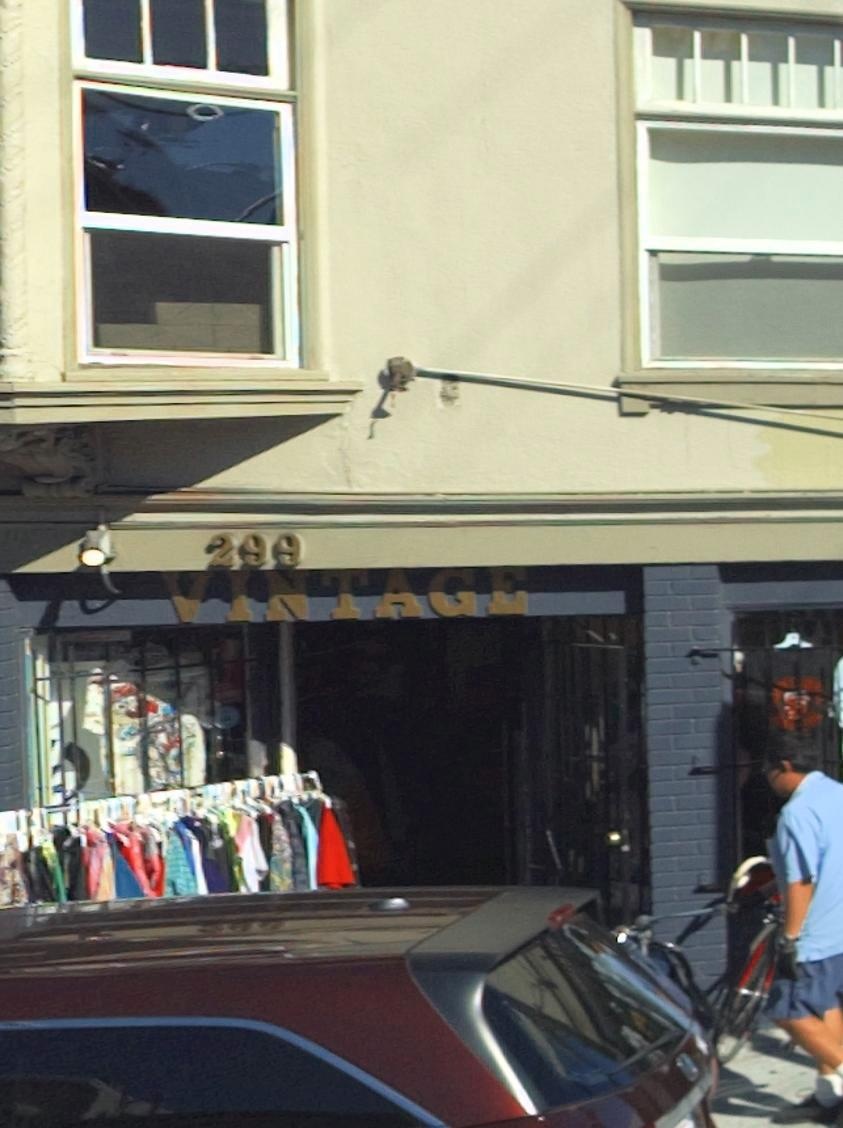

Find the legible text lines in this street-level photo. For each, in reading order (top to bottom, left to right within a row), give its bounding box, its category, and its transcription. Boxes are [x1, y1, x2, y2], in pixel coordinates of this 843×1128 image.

[209, 531, 305, 567] StreetNumber: 299
[157, 564, 531, 626] None: VINTAGE